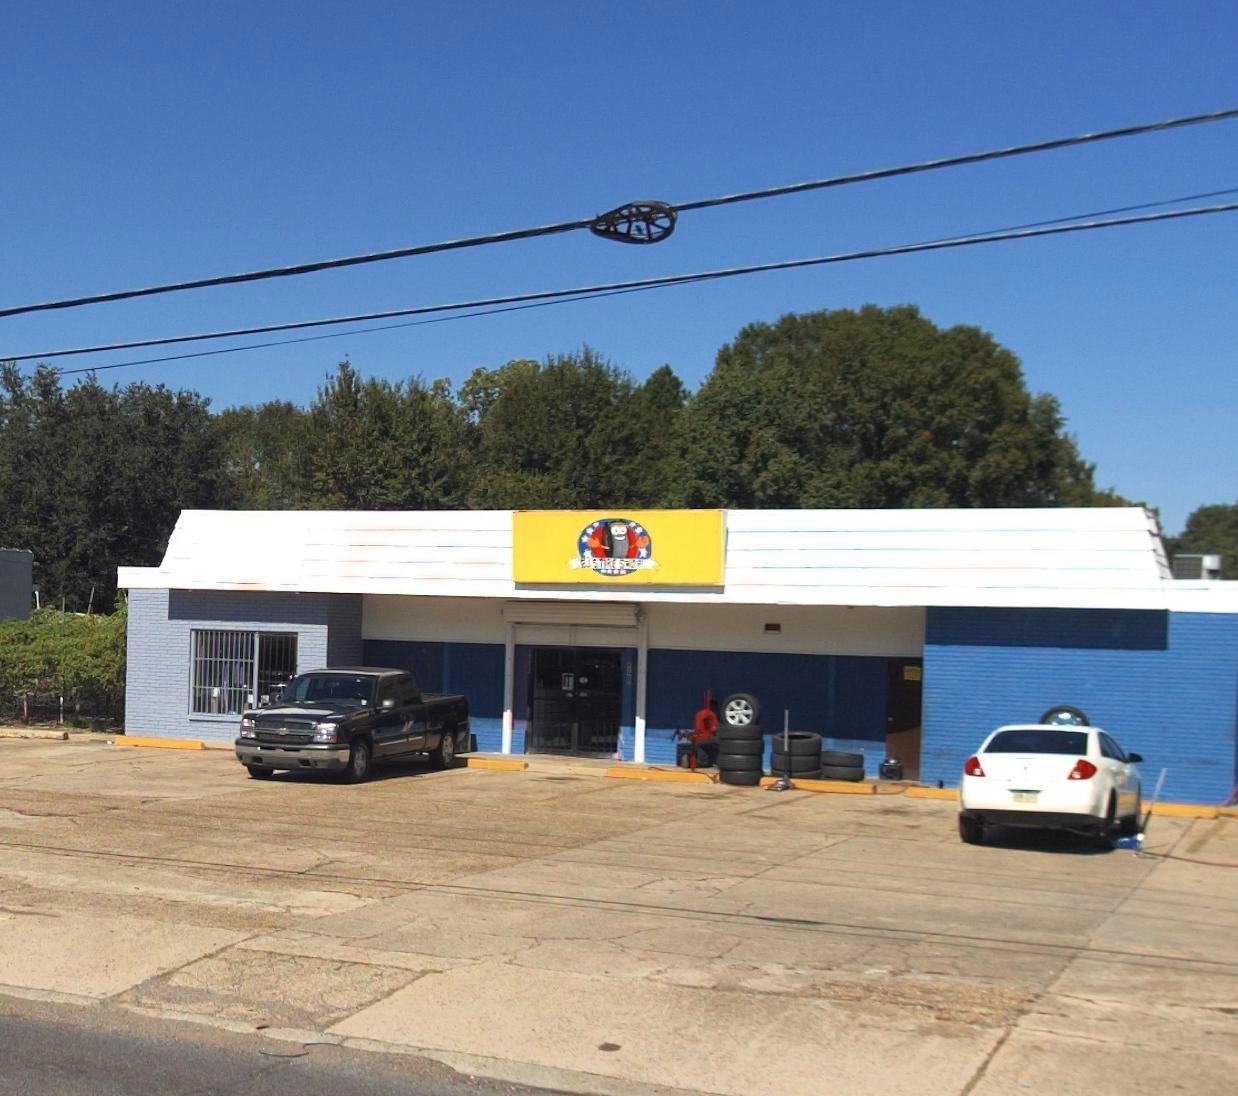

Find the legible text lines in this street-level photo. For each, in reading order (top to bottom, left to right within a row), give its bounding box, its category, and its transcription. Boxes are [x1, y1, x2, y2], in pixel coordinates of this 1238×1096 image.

[578, 557, 646, 571] BusinessName: BJ'S TIRES